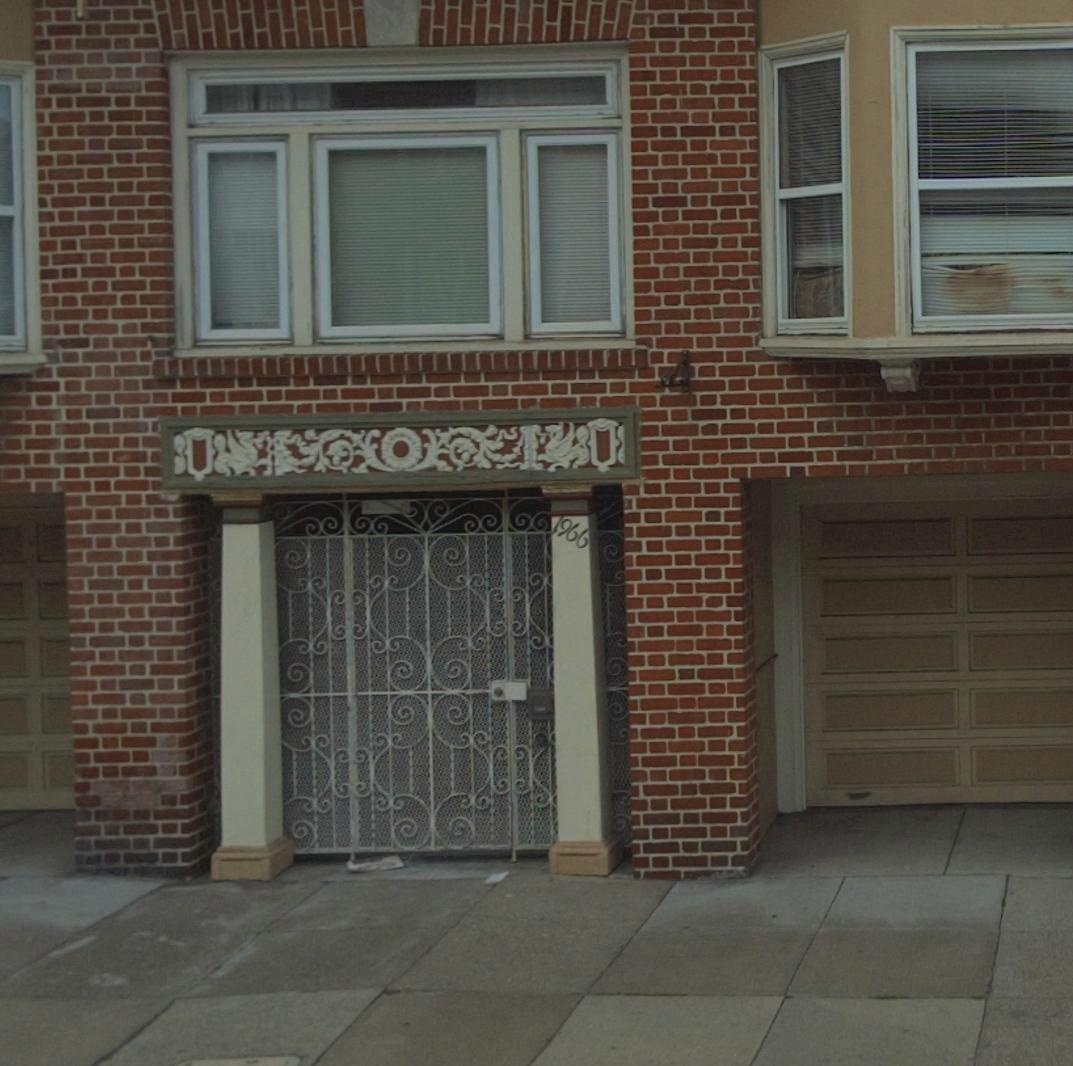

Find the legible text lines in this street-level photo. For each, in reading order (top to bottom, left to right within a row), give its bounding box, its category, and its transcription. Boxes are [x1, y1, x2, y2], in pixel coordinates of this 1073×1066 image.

[548, 513, 591, 553] StreetNumber: 1966